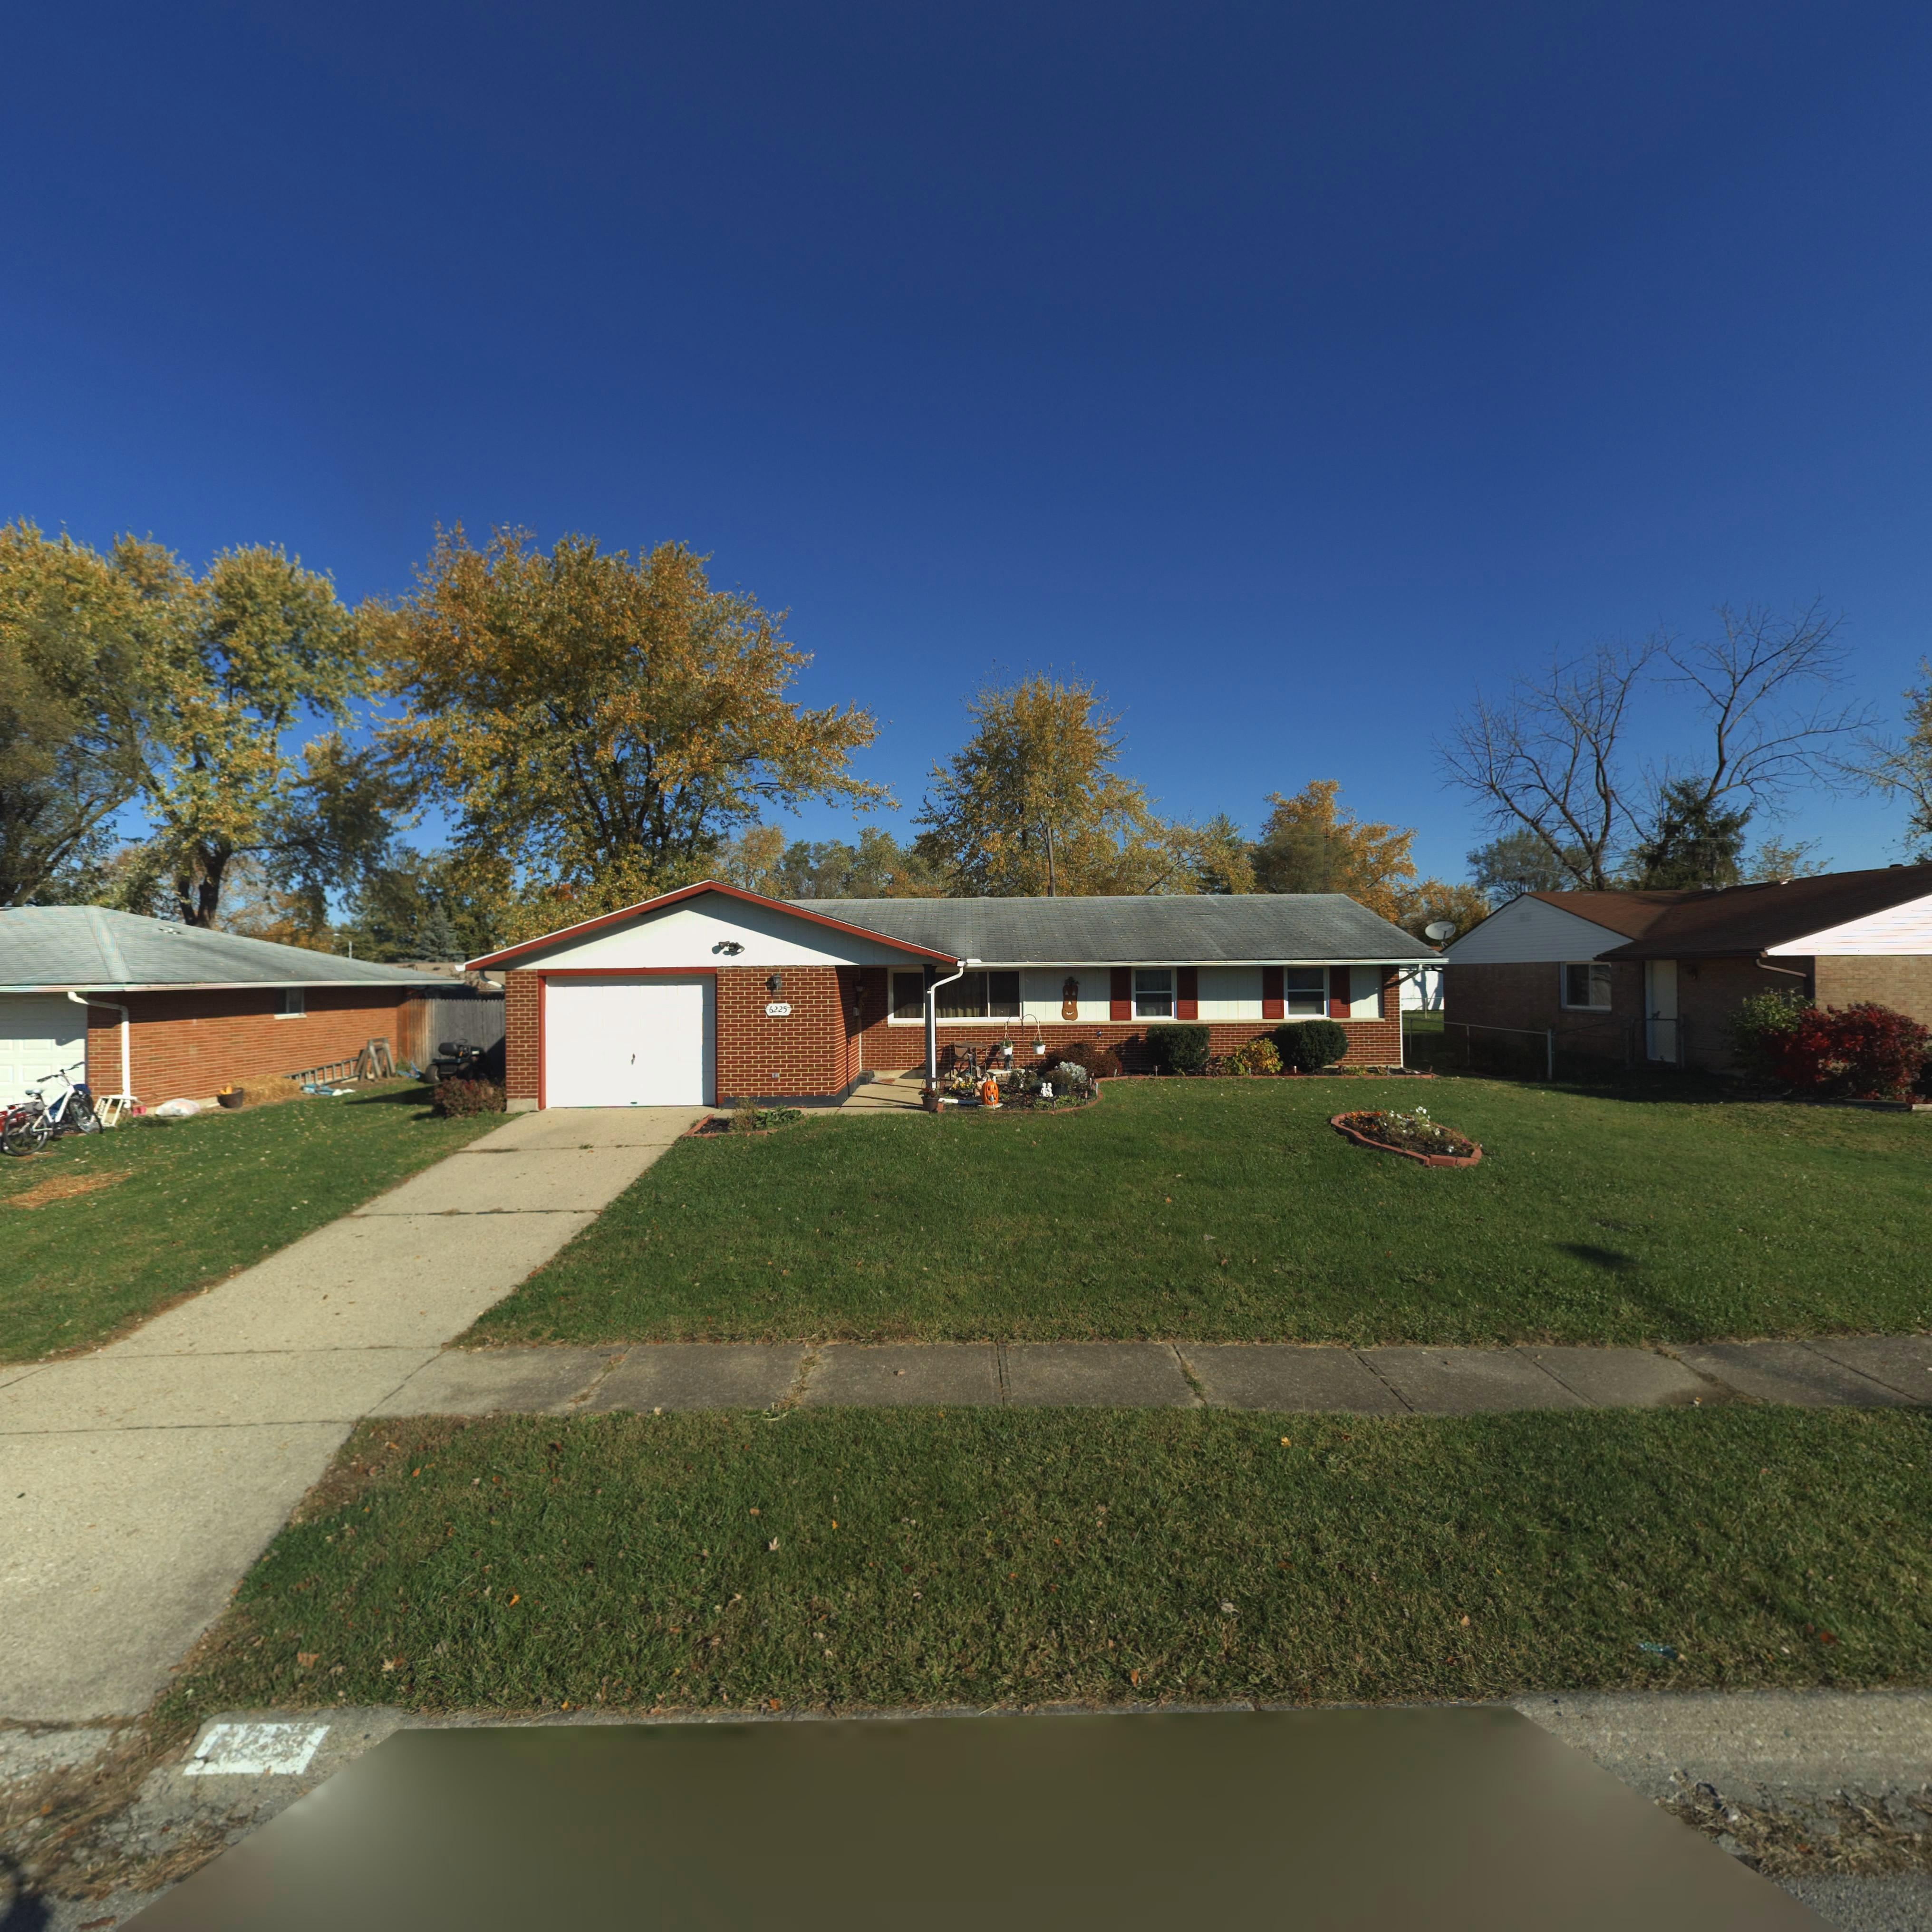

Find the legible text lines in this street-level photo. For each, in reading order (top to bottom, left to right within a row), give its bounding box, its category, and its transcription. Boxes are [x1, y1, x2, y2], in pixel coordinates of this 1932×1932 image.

[768, 1005, 788, 1013] StreetNumber: 6225
[198, 1728, 269, 1763] StreetNumber: 62